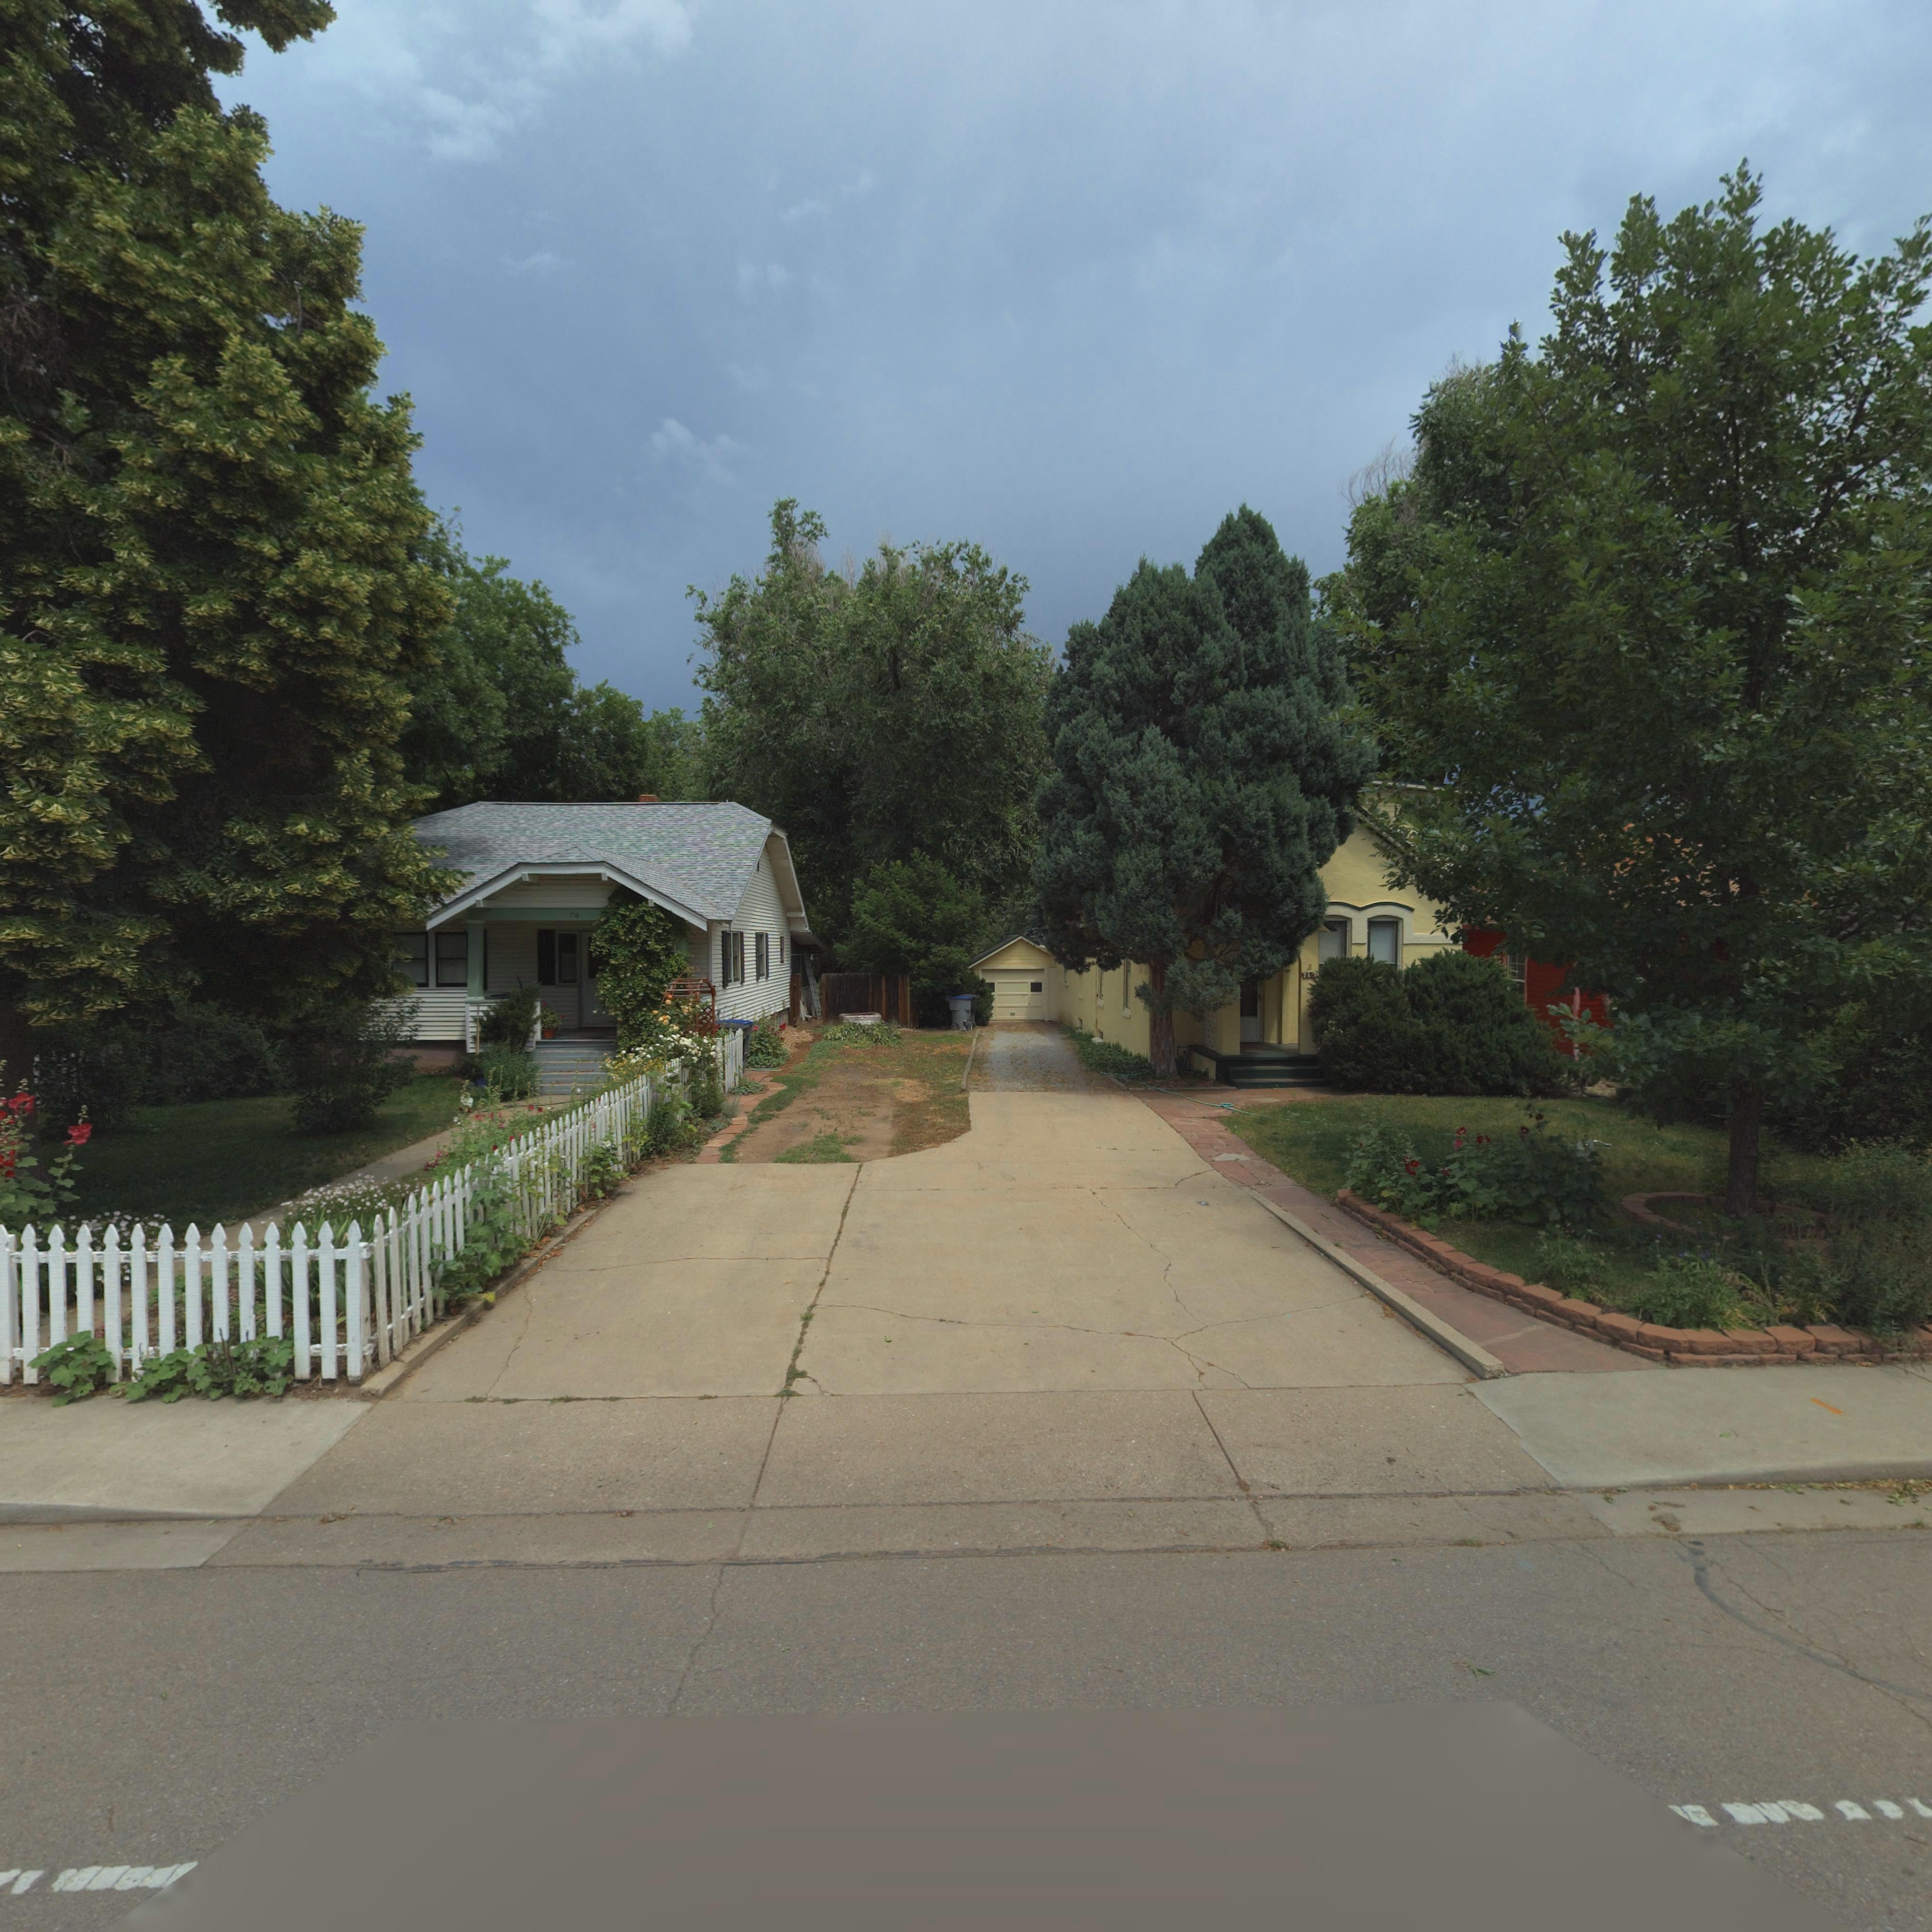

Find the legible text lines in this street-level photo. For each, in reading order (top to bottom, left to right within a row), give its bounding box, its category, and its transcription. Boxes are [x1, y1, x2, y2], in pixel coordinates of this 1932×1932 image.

[569, 911, 580, 918] StreetNumber: 716